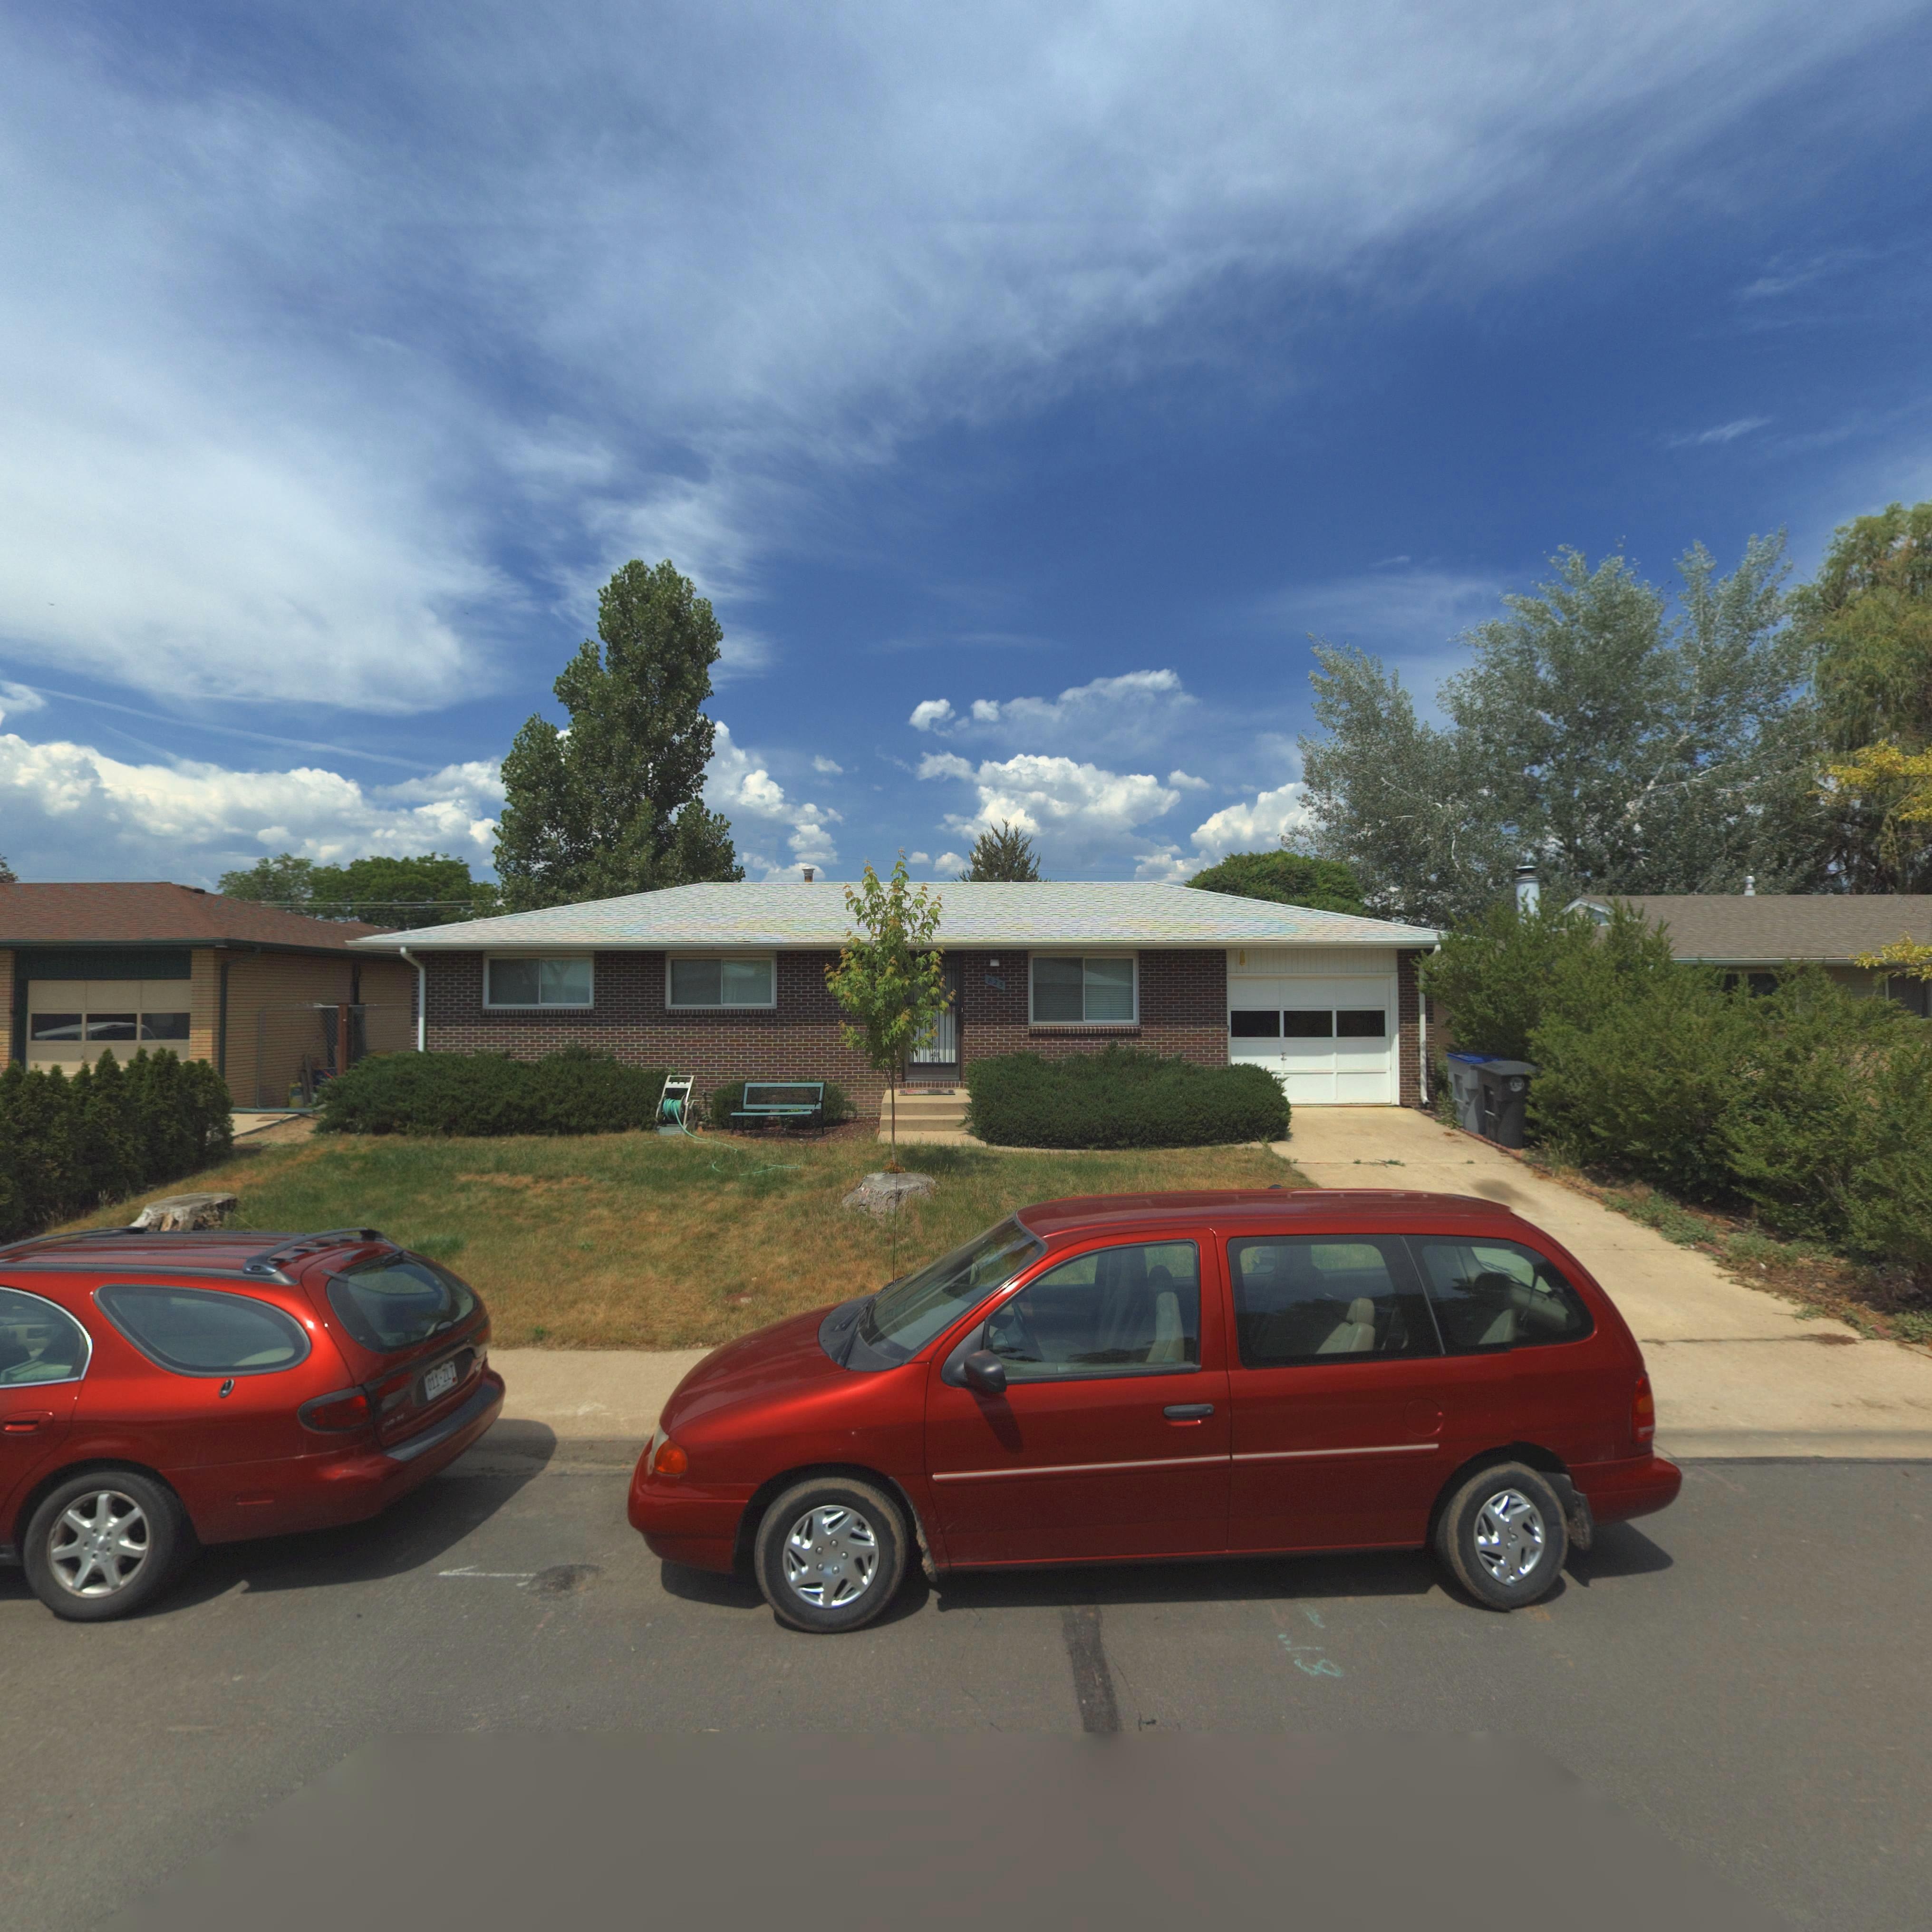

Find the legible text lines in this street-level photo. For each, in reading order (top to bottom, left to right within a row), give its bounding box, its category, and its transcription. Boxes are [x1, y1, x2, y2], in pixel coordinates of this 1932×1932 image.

[987, 976, 1003, 988] StreetNumber: 825